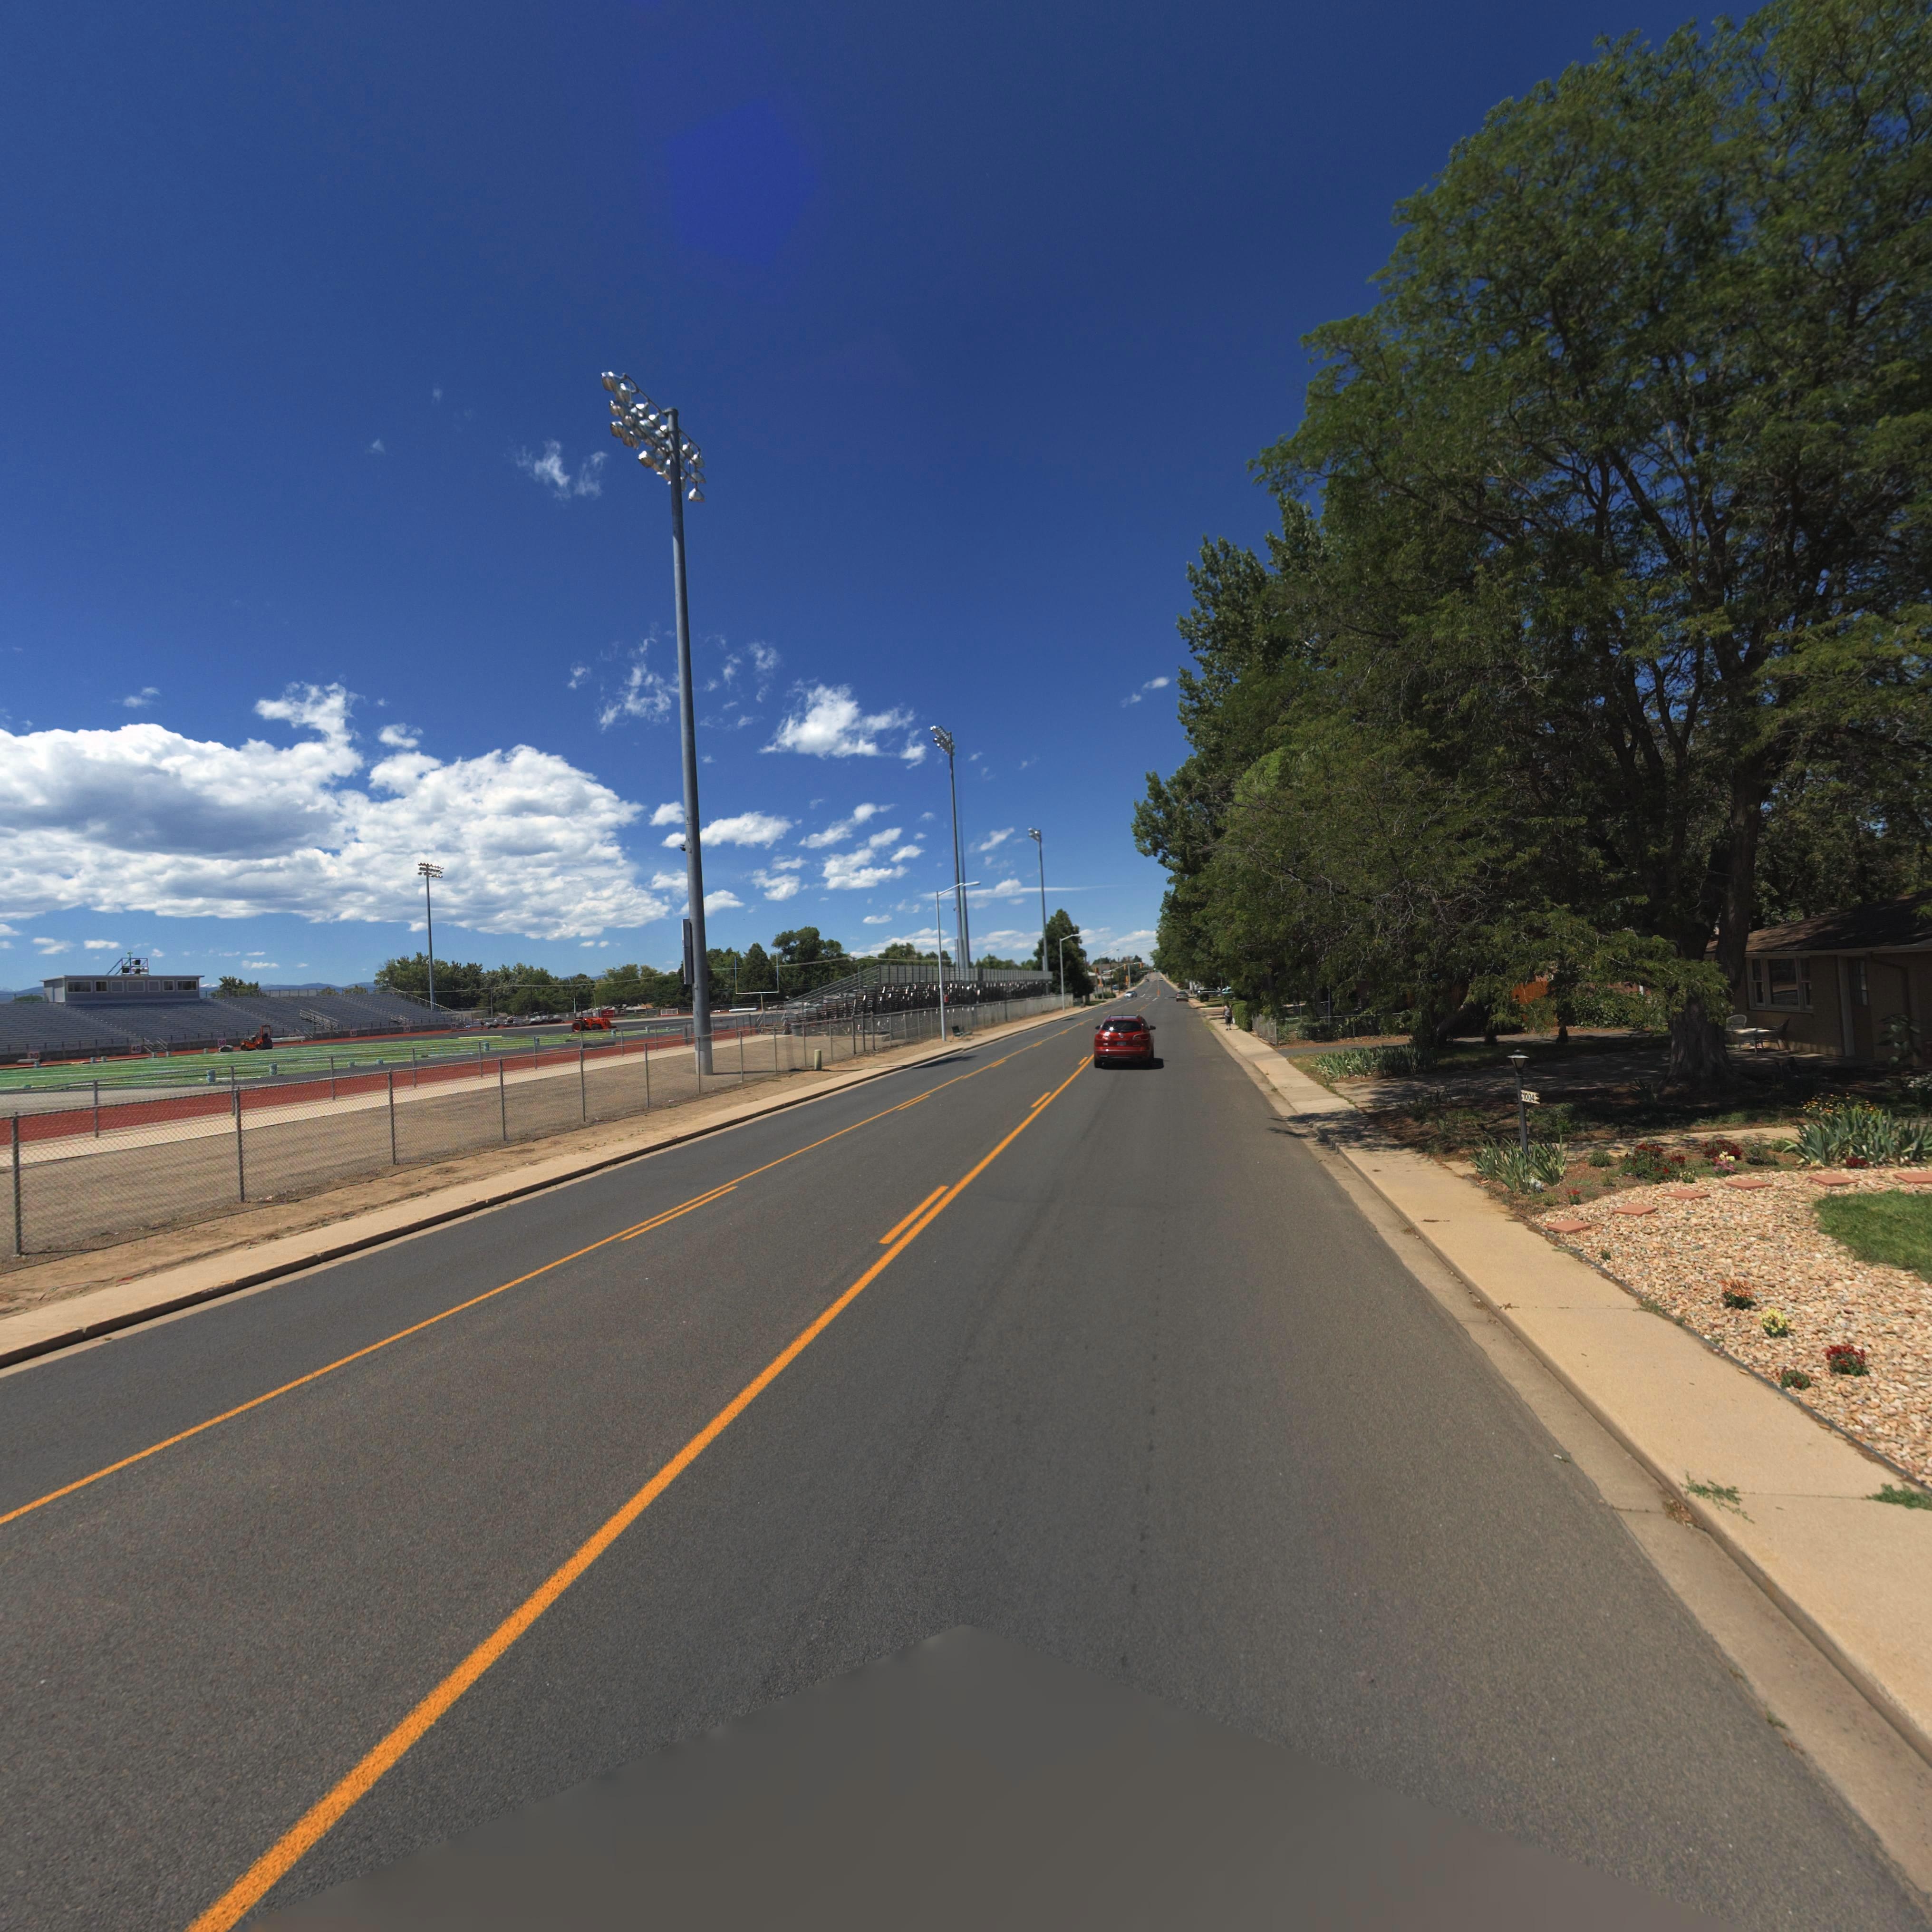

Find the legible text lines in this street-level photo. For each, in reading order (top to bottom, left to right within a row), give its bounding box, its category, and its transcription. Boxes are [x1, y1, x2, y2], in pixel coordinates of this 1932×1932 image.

[1522, 1091, 1535, 1102] StreetNumber: 1004